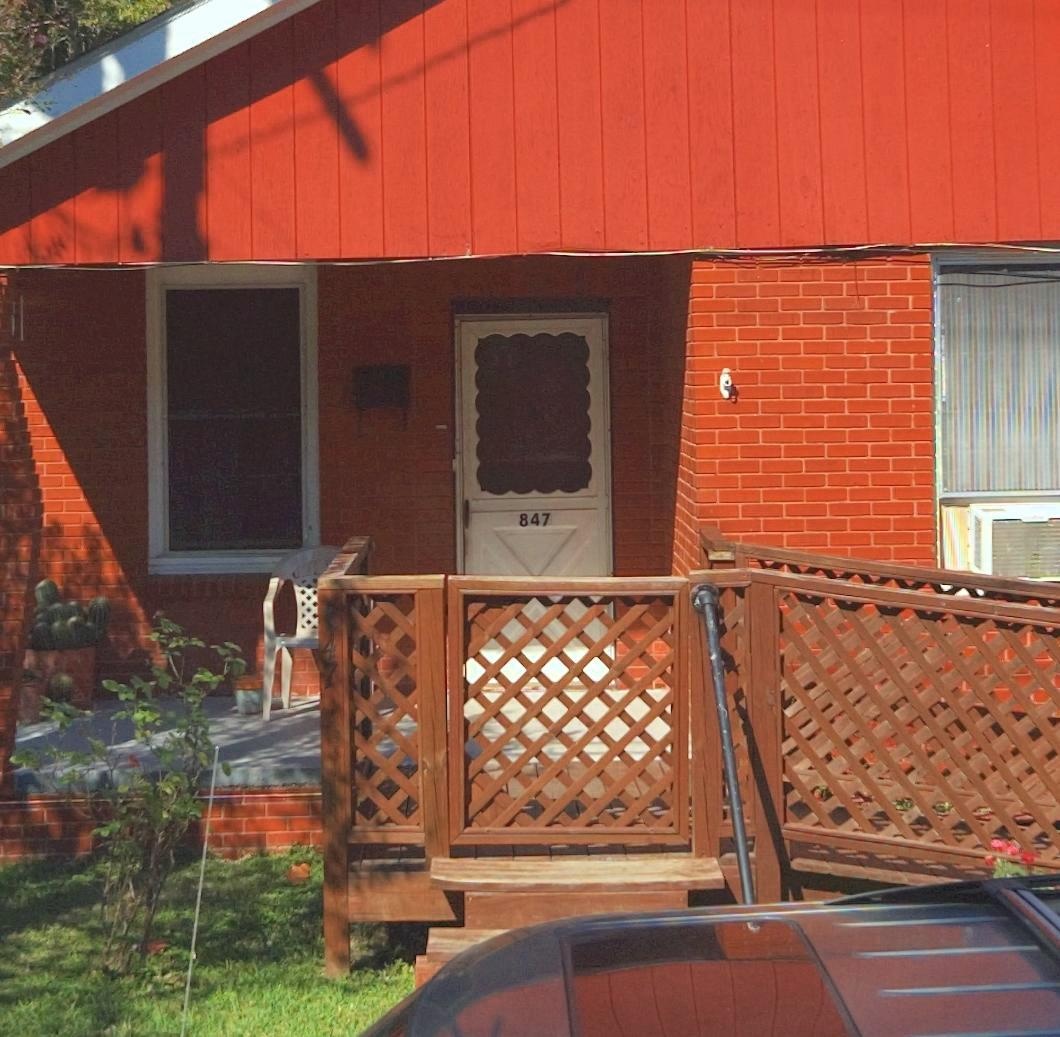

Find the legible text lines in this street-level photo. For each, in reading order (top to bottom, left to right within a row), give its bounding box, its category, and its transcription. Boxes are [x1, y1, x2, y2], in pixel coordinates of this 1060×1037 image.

[517, 510, 554, 529] StreetNumber: 847